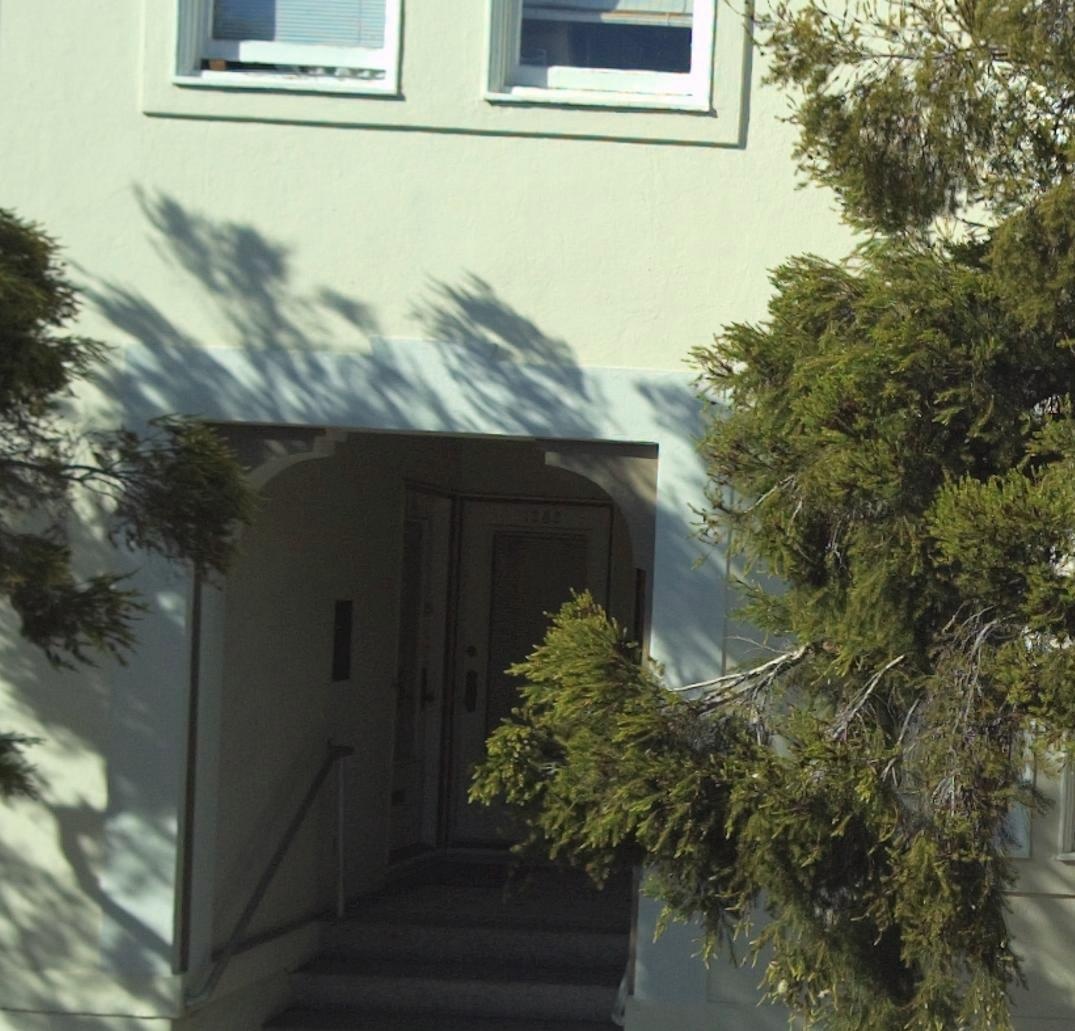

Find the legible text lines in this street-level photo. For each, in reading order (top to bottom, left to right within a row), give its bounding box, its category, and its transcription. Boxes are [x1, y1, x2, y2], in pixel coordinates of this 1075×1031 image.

[521, 508, 564, 525] StreetNumber: 1252